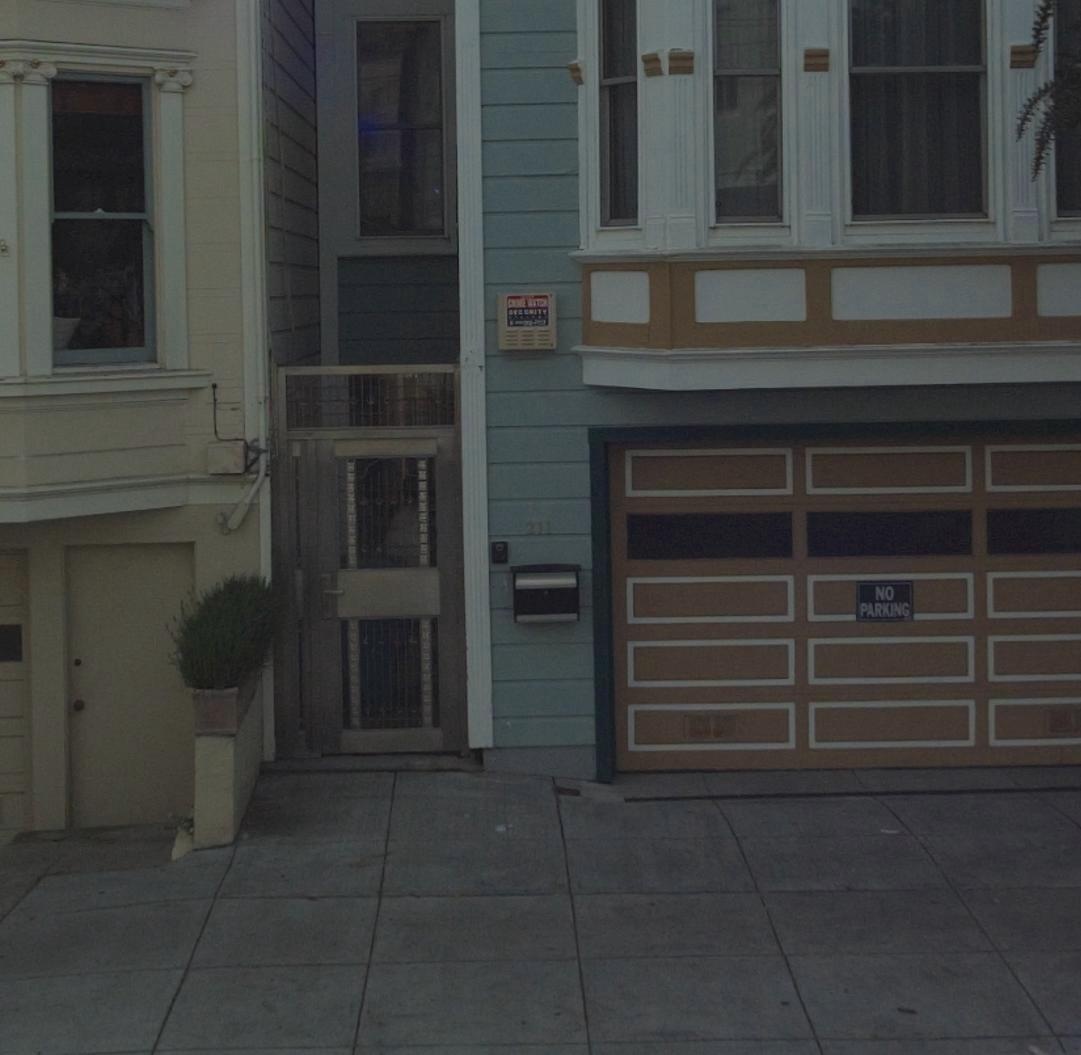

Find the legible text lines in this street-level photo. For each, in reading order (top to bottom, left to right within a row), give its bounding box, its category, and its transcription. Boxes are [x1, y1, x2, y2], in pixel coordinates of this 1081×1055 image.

[507, 298, 548, 308] None: CRIME WATCH
[525, 519, 553, 537] StreetNumber: 211
[875, 585, 895, 601] None: NO
[859, 602, 910, 618] None: PARKING